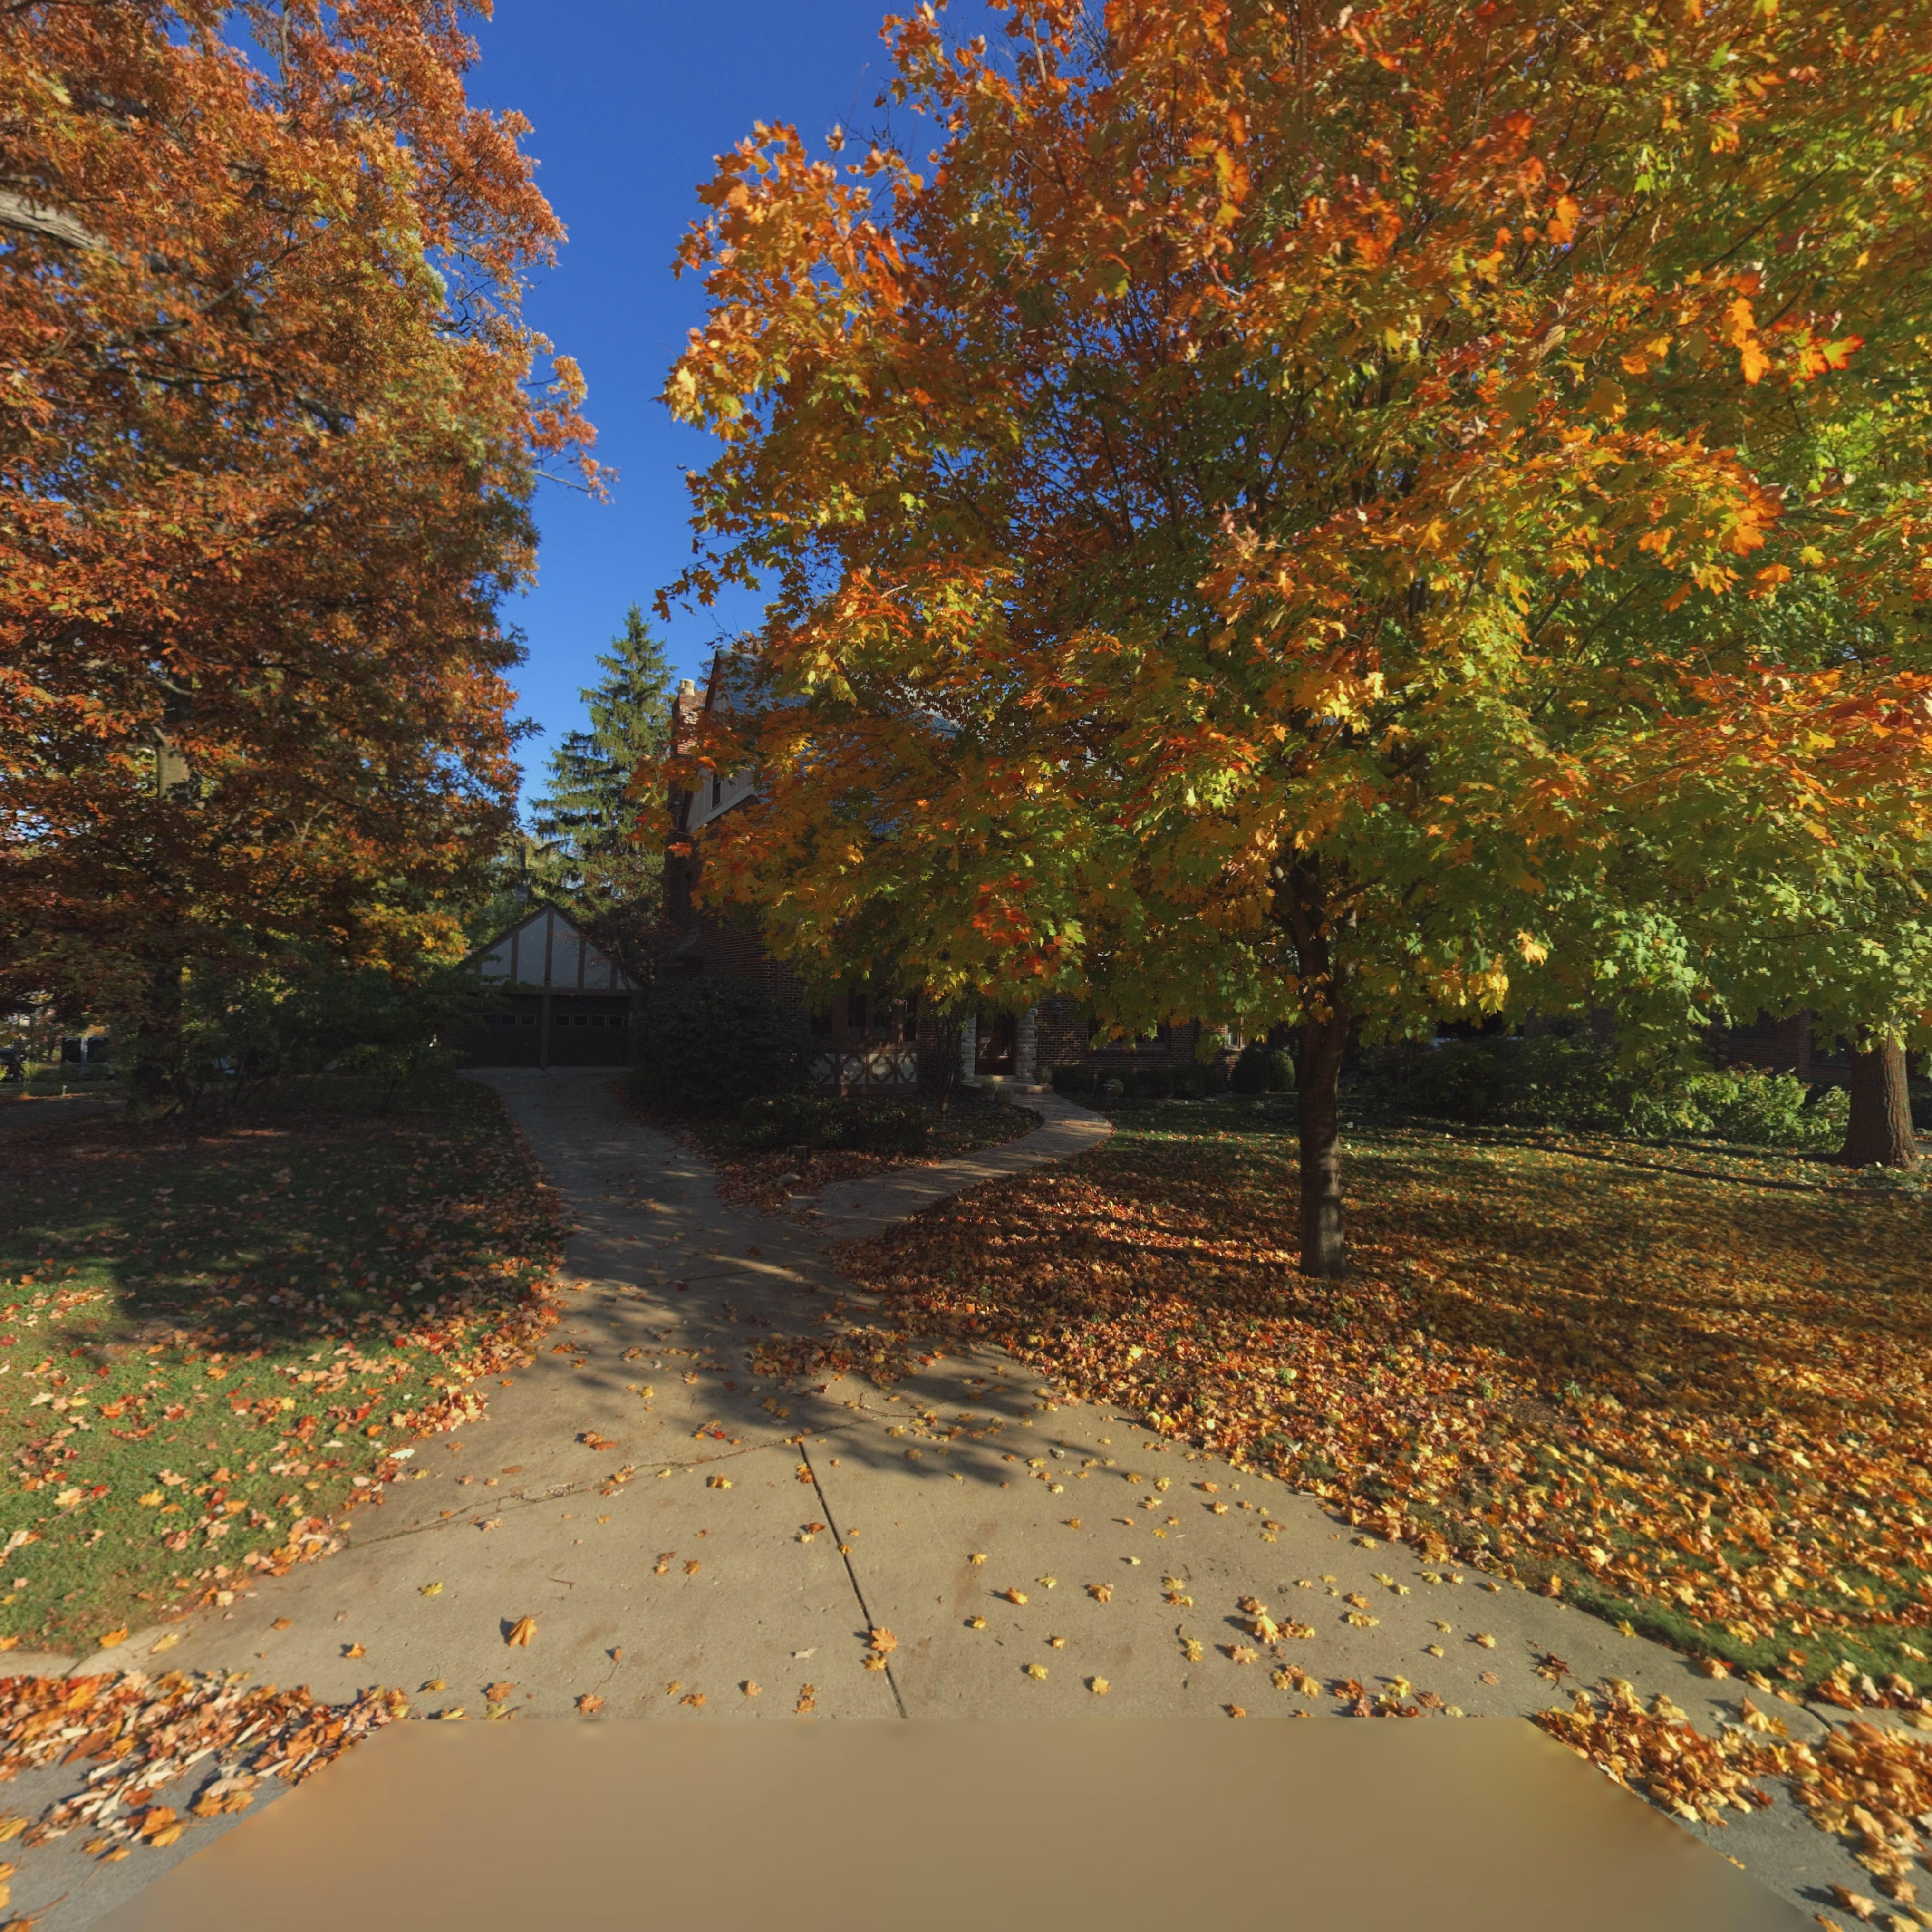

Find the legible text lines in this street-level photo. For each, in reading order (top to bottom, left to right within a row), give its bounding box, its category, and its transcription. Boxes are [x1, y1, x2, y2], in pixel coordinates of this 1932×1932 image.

[789, 1147, 809, 1159] StreetNumber: 294